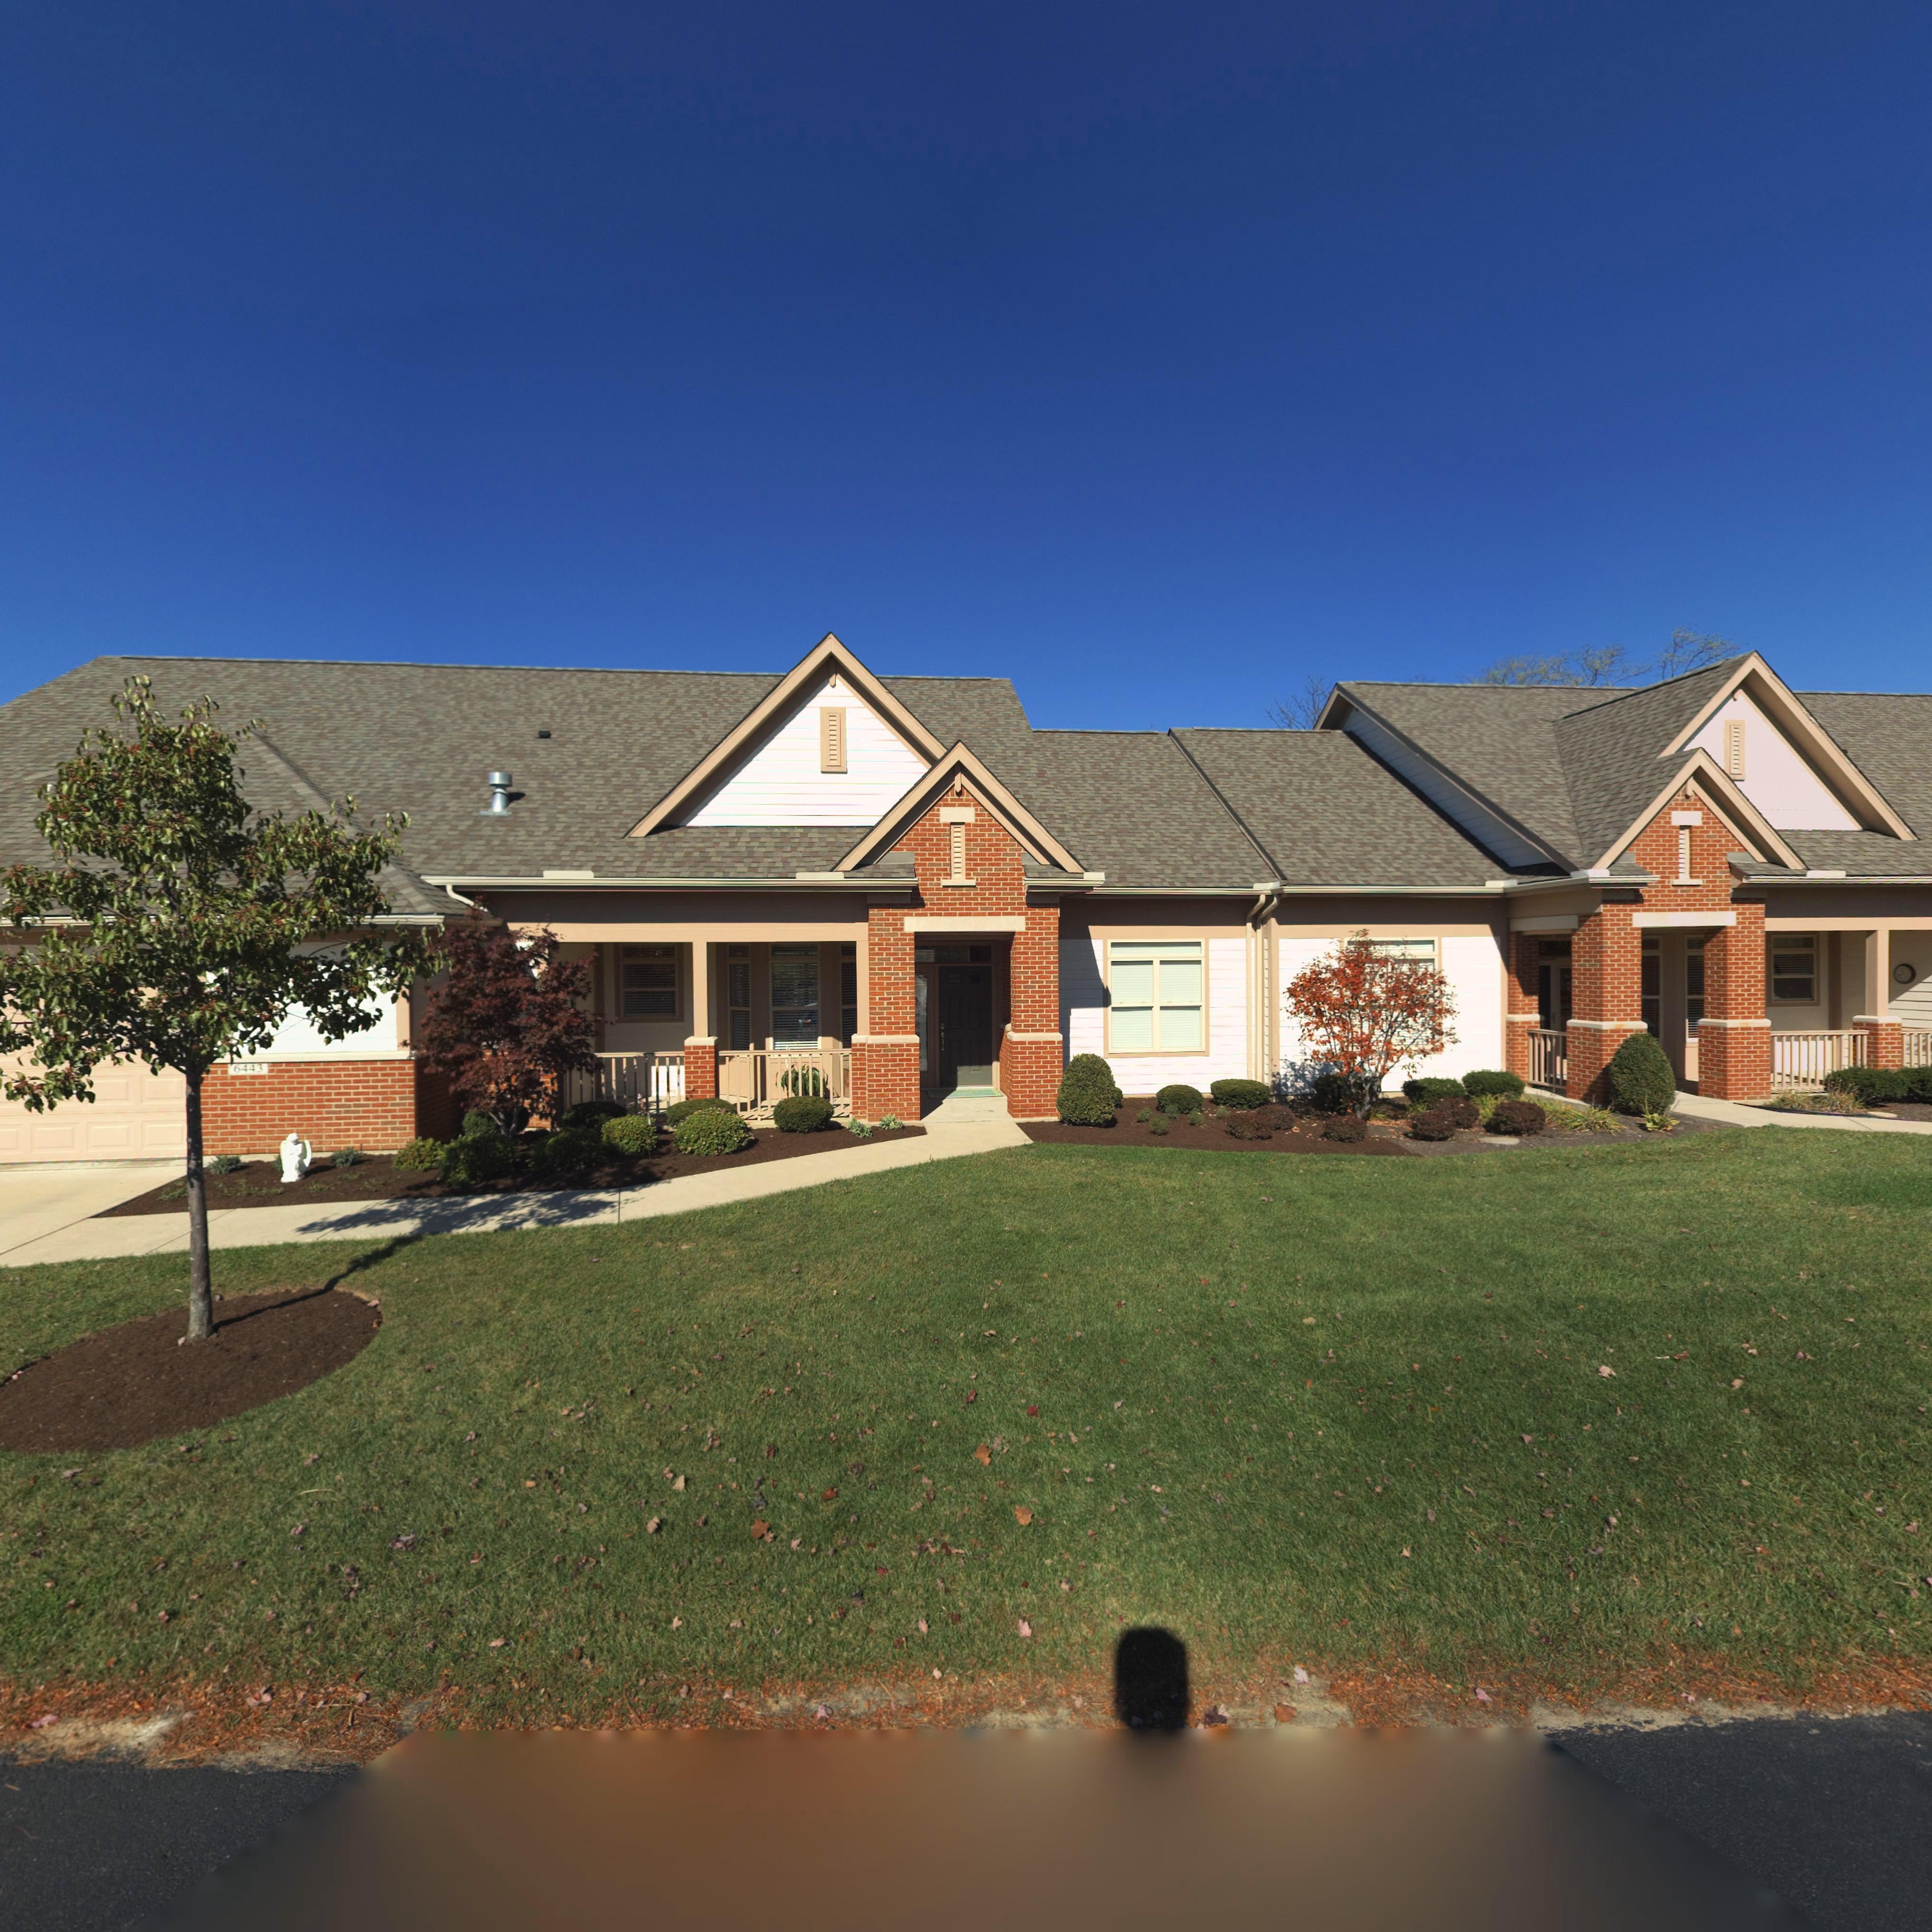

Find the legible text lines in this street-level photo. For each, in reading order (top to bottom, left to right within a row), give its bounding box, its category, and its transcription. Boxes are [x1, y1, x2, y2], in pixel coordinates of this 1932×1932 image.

[233, 1063, 263, 1073] StreetNumber: 6443